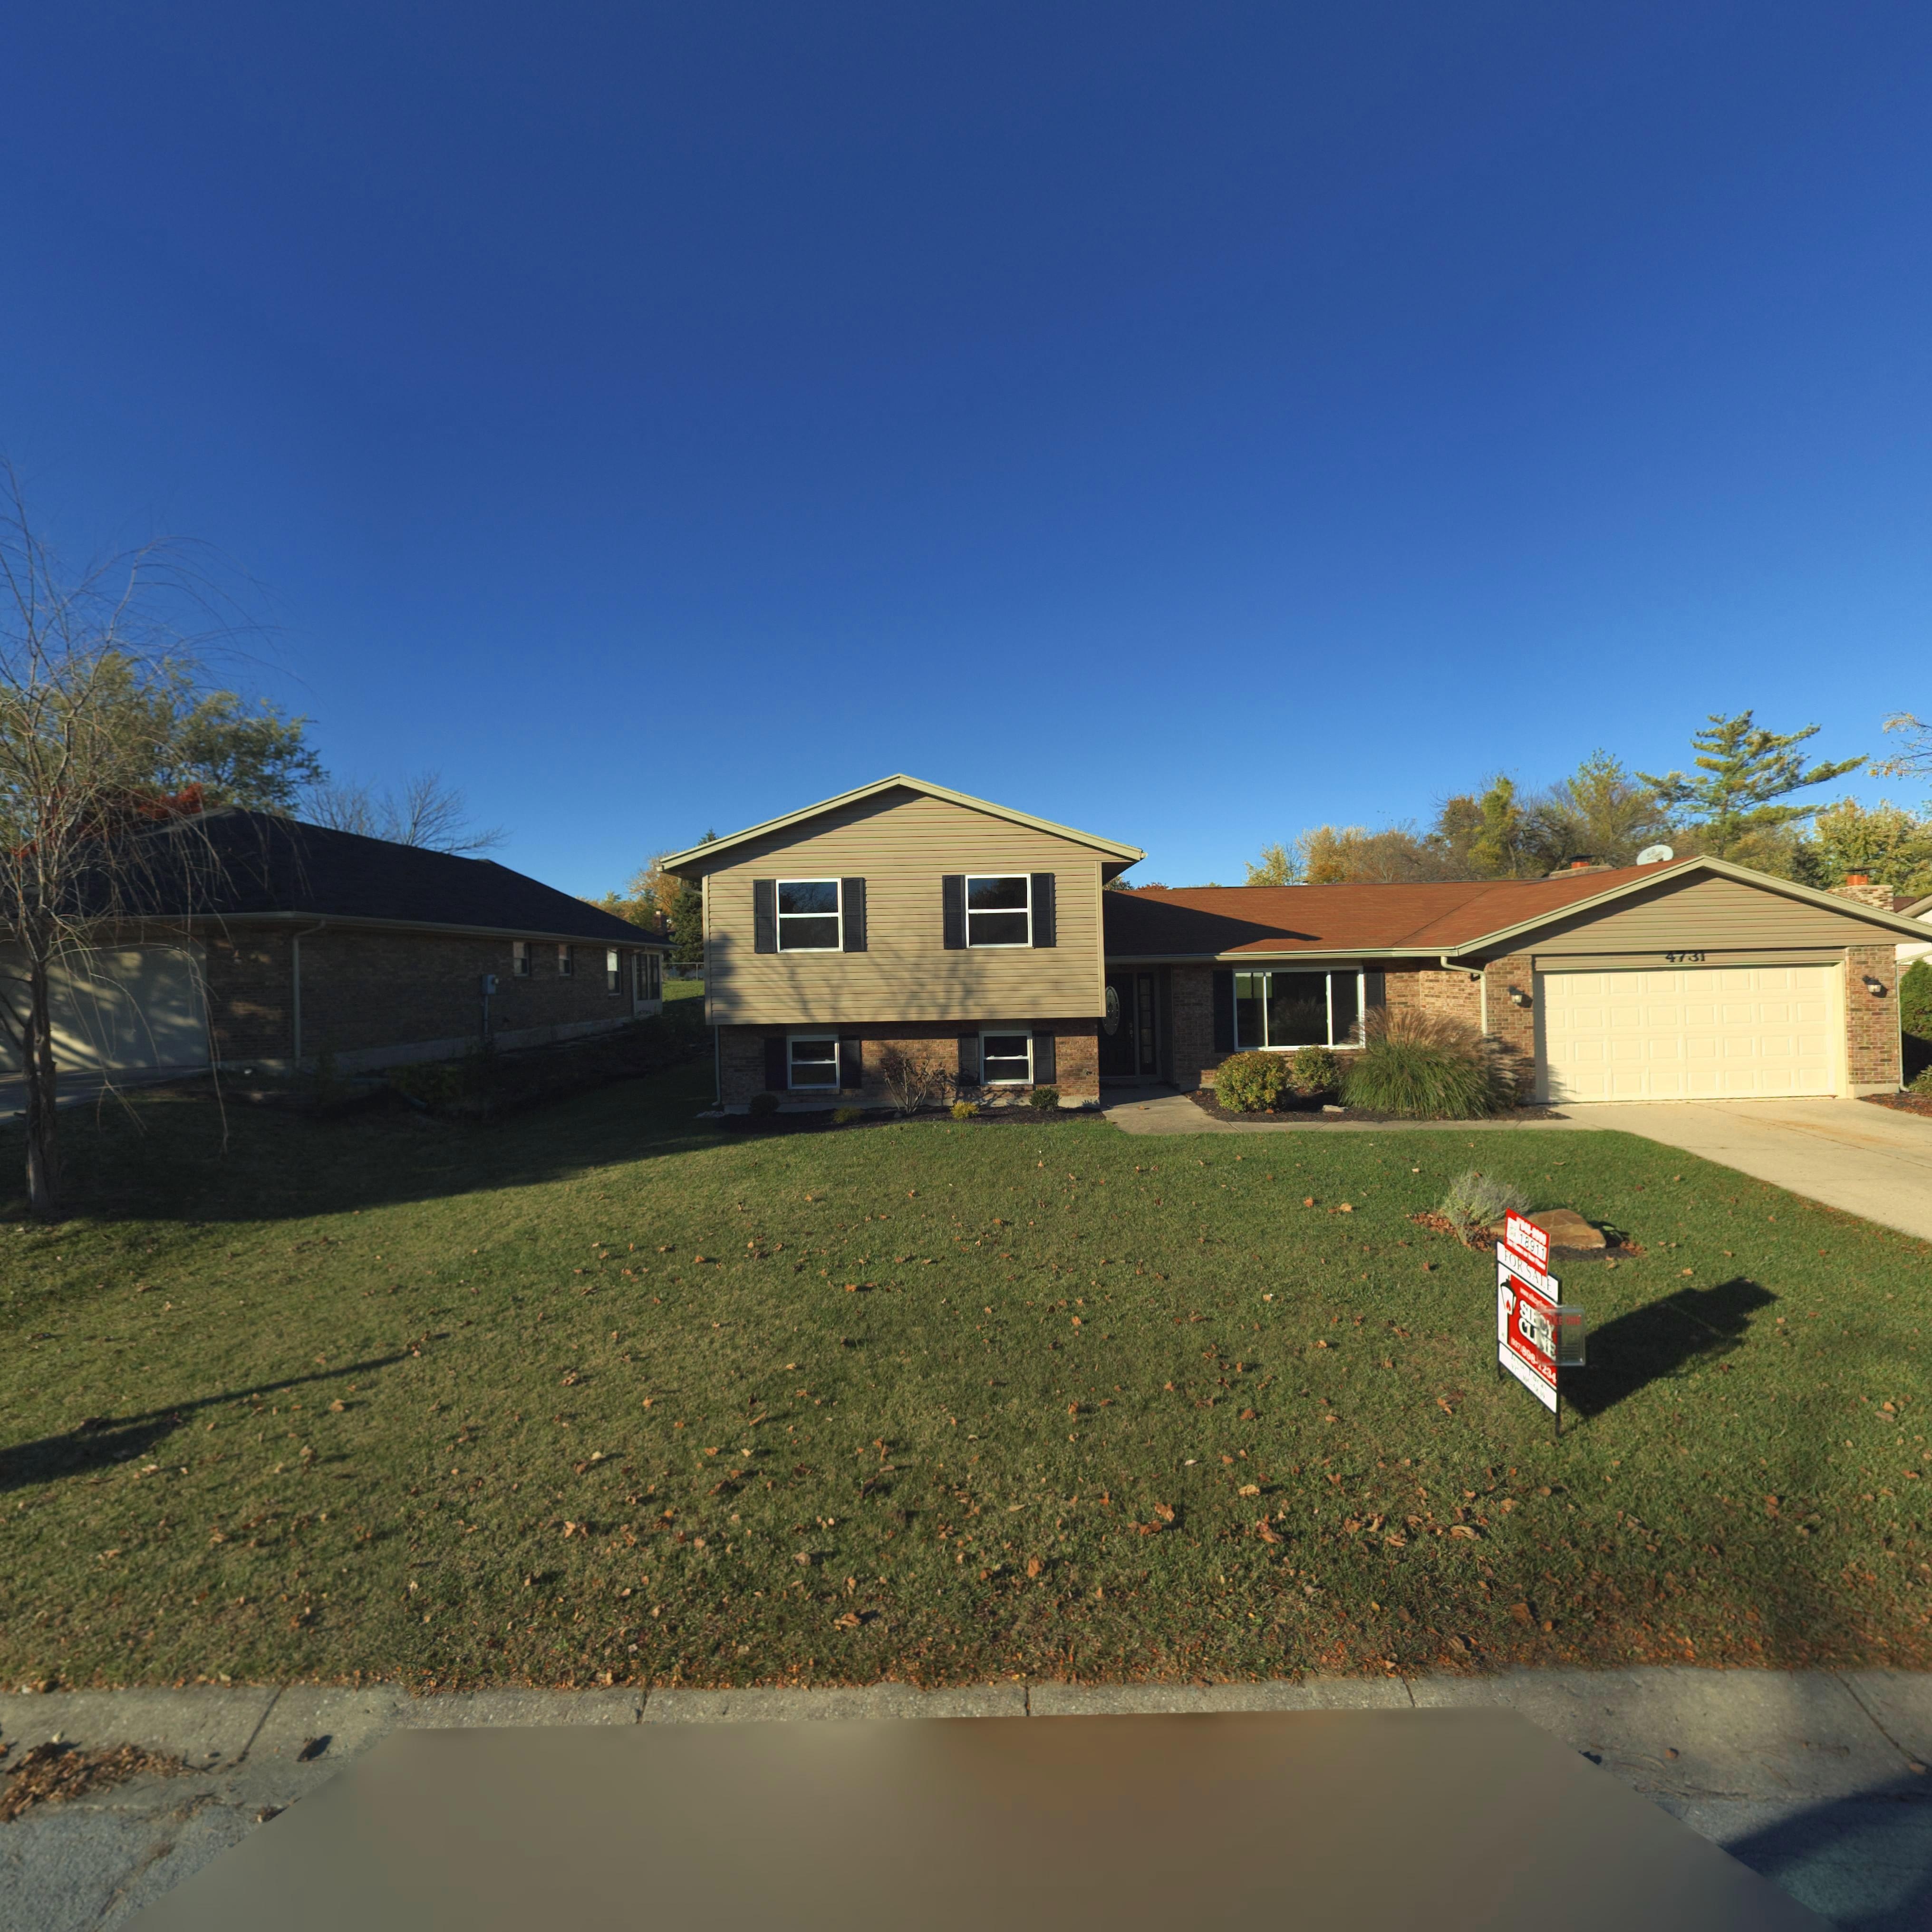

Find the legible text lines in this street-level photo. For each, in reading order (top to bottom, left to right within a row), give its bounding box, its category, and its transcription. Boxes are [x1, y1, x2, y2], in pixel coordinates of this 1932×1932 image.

[1663, 947, 1706, 964] StreetNumber: 4731